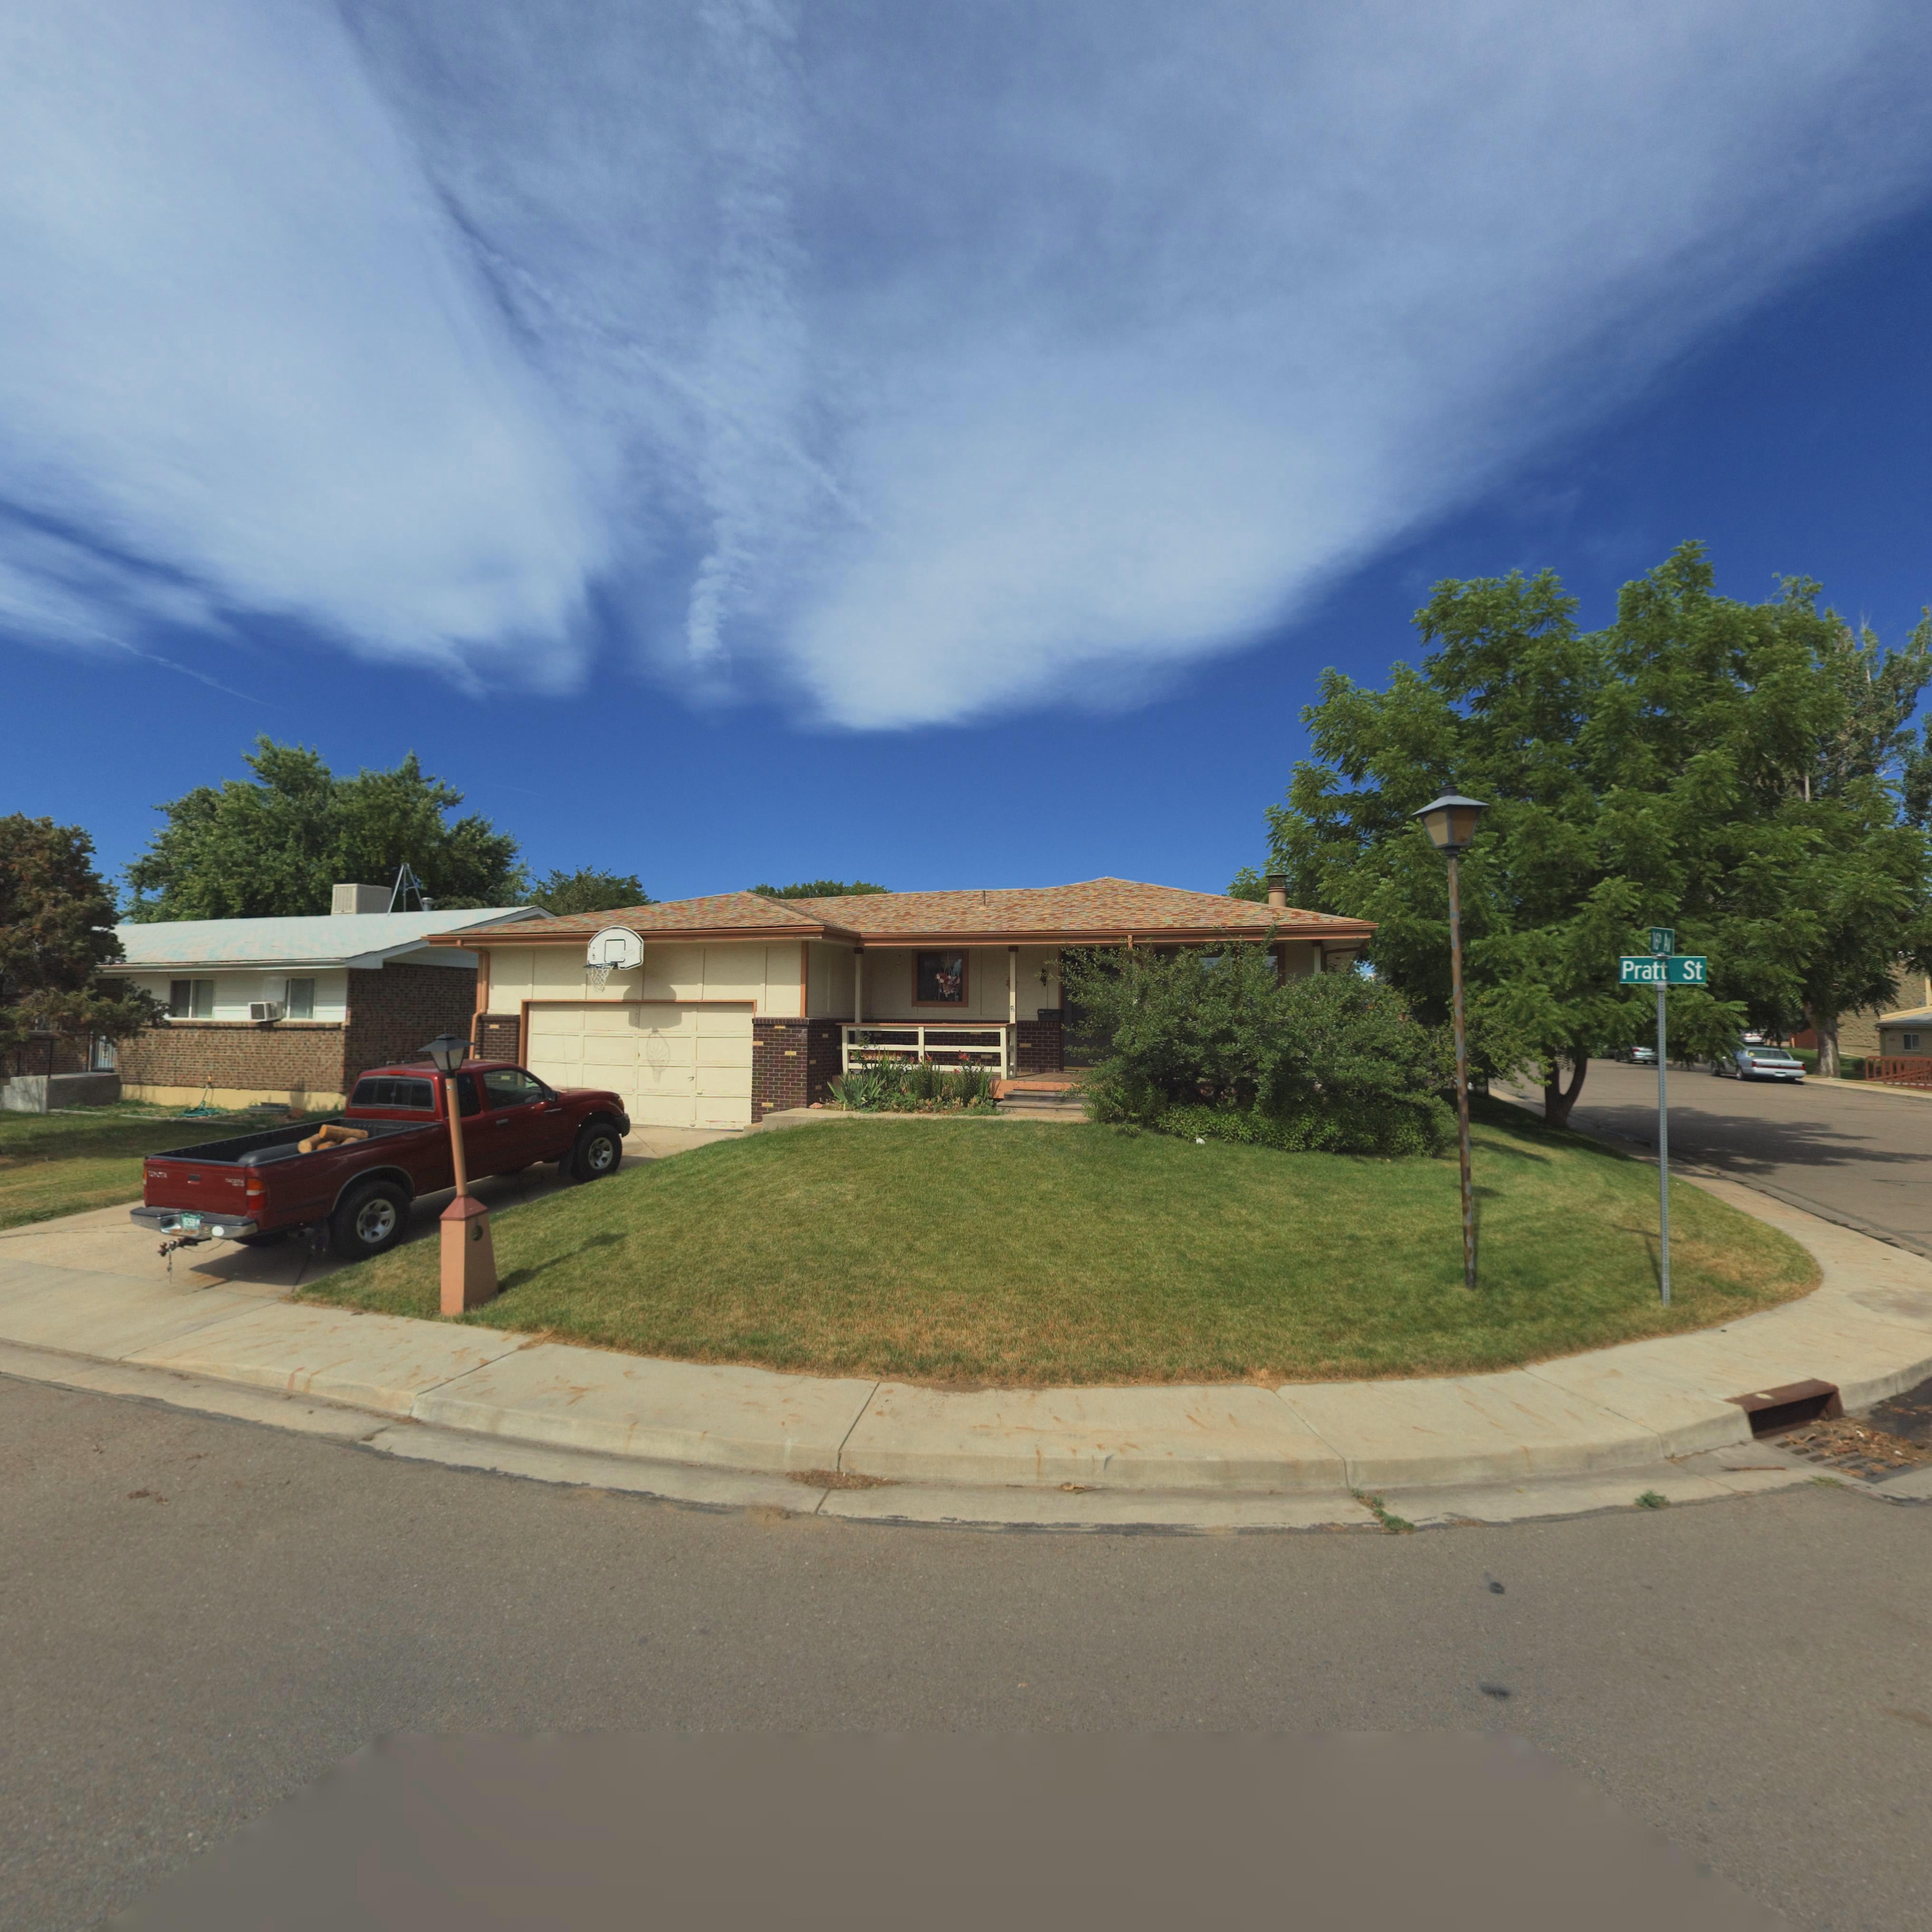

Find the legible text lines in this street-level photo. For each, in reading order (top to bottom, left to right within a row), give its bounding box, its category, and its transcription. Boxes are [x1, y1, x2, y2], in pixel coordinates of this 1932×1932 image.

[1652, 931, 1672, 952] StreetName: 16th Av
[1622, 960, 1703, 981] StreetName: Pratt St